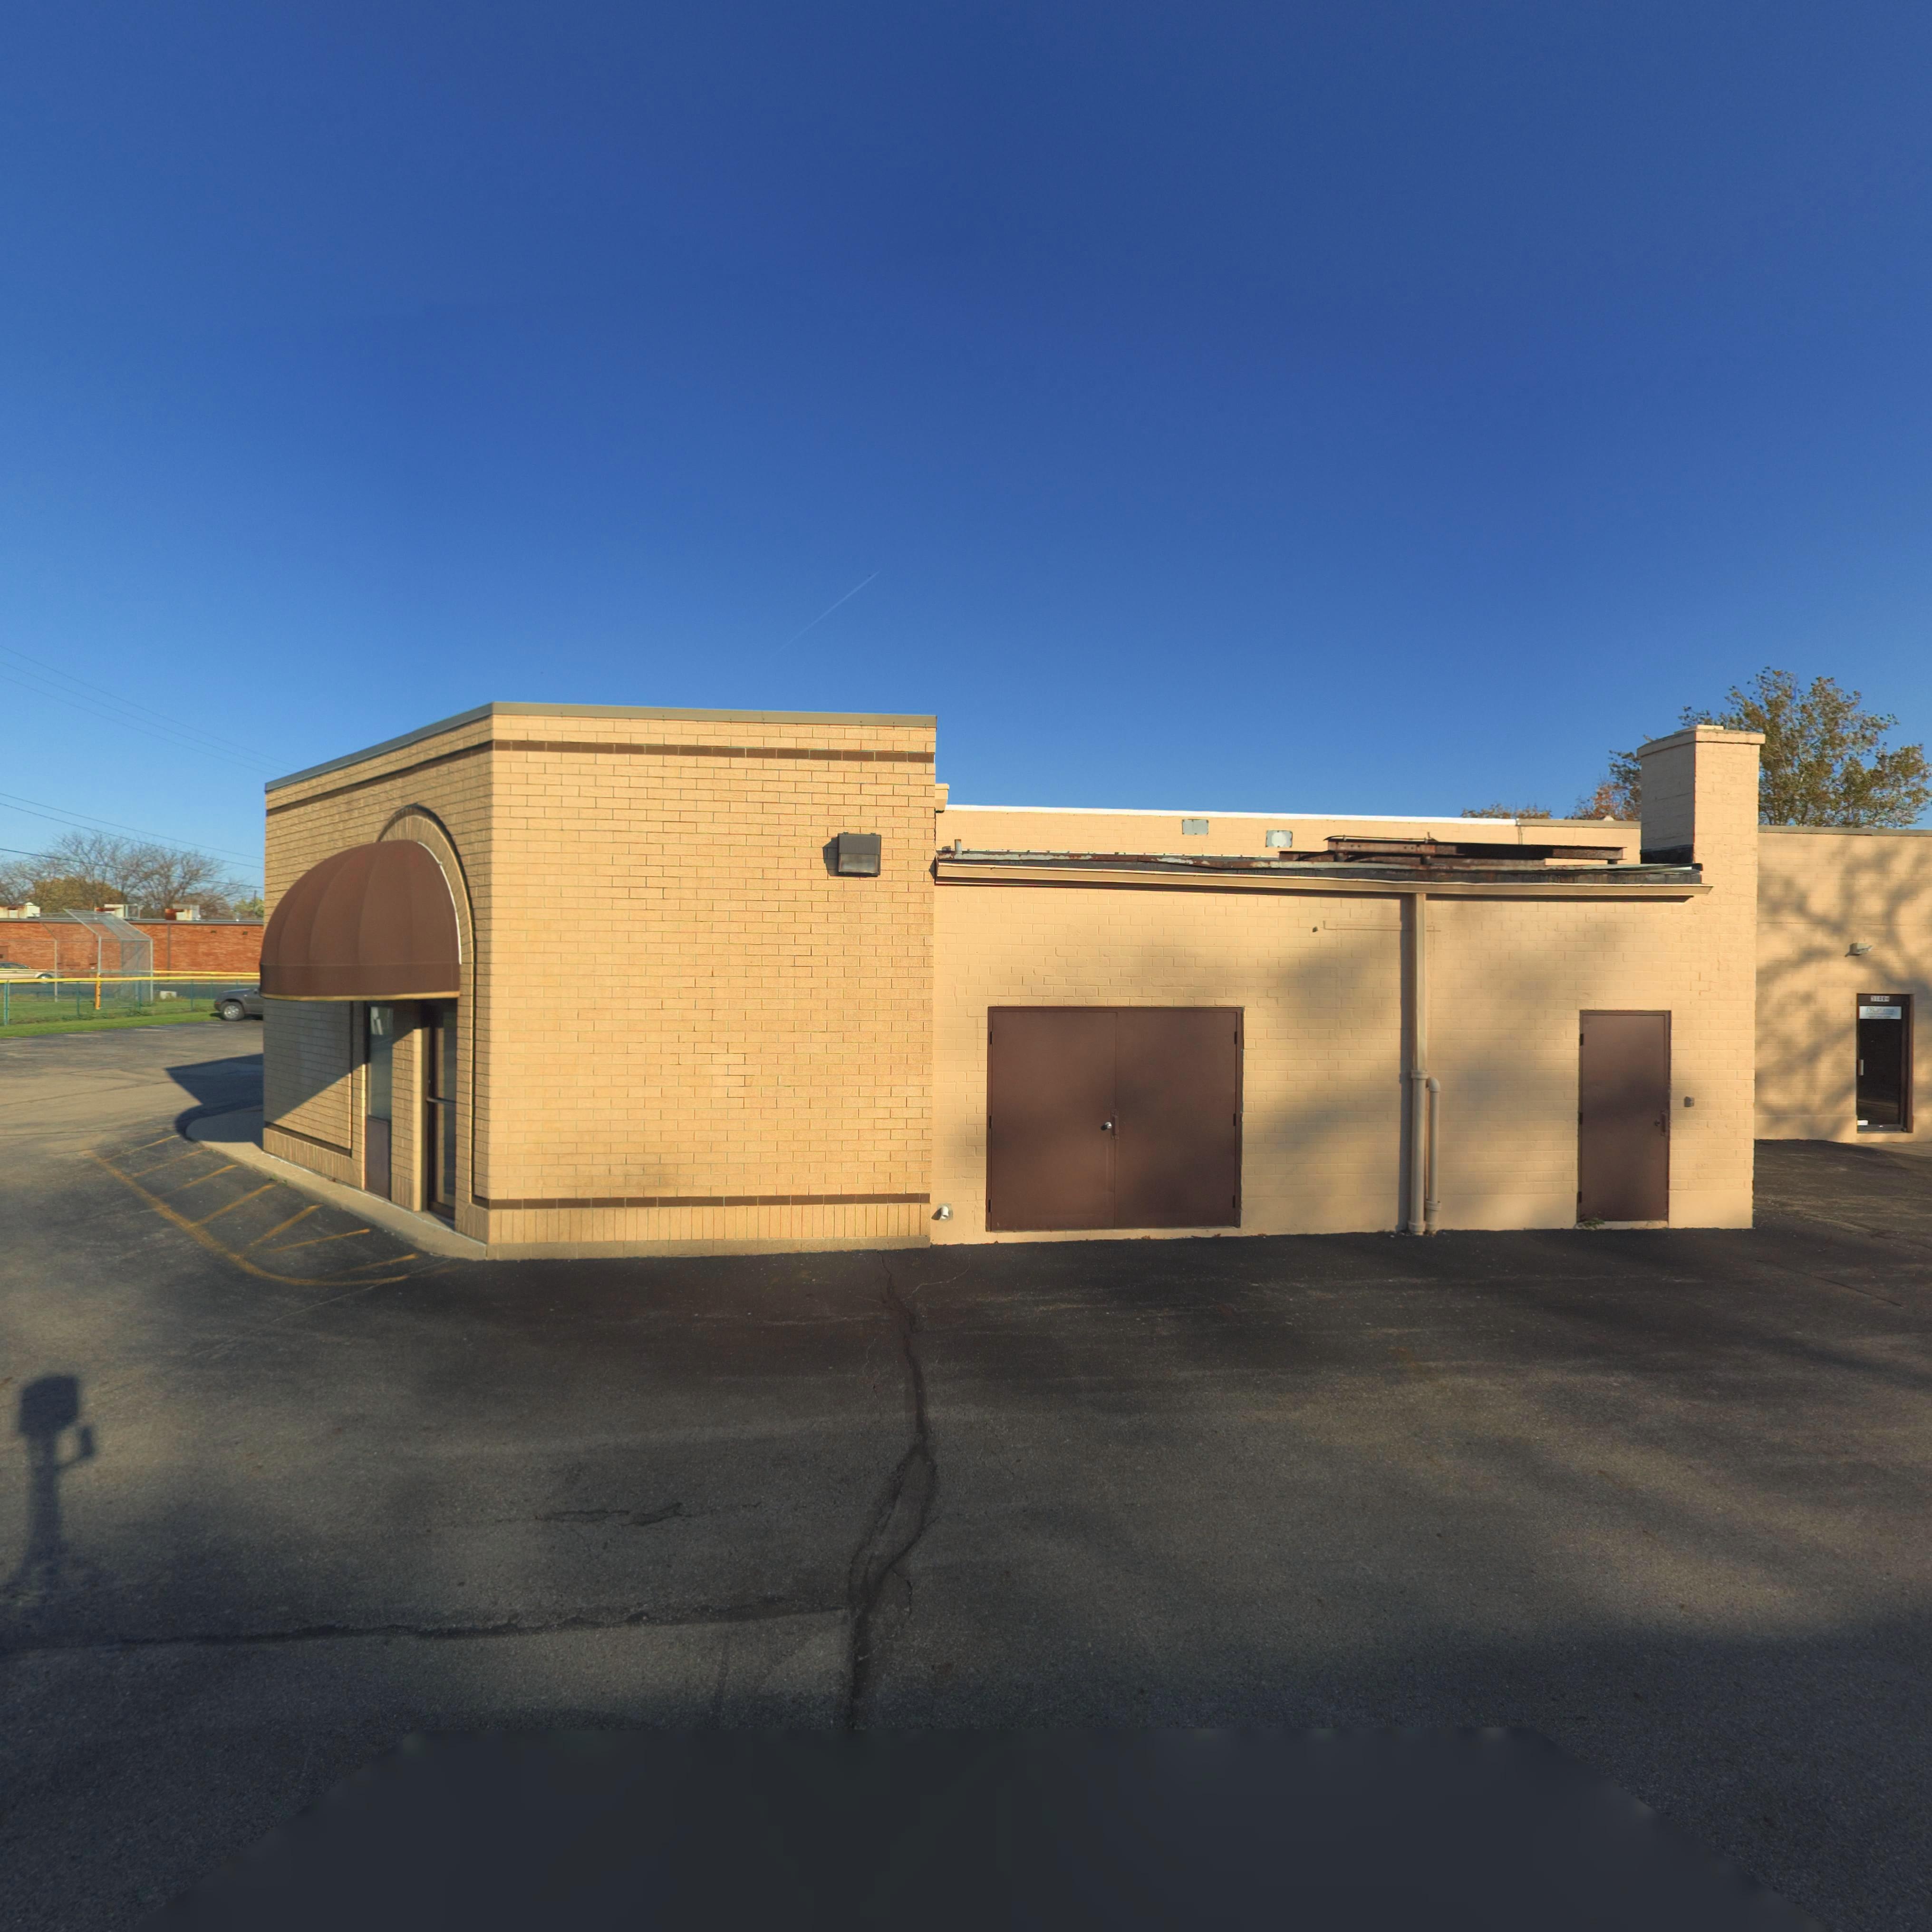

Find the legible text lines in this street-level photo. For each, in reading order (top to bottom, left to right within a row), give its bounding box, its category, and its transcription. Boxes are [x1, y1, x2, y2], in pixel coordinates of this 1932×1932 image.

[1870, 995, 1885, 1002] StreetNumber: 314*